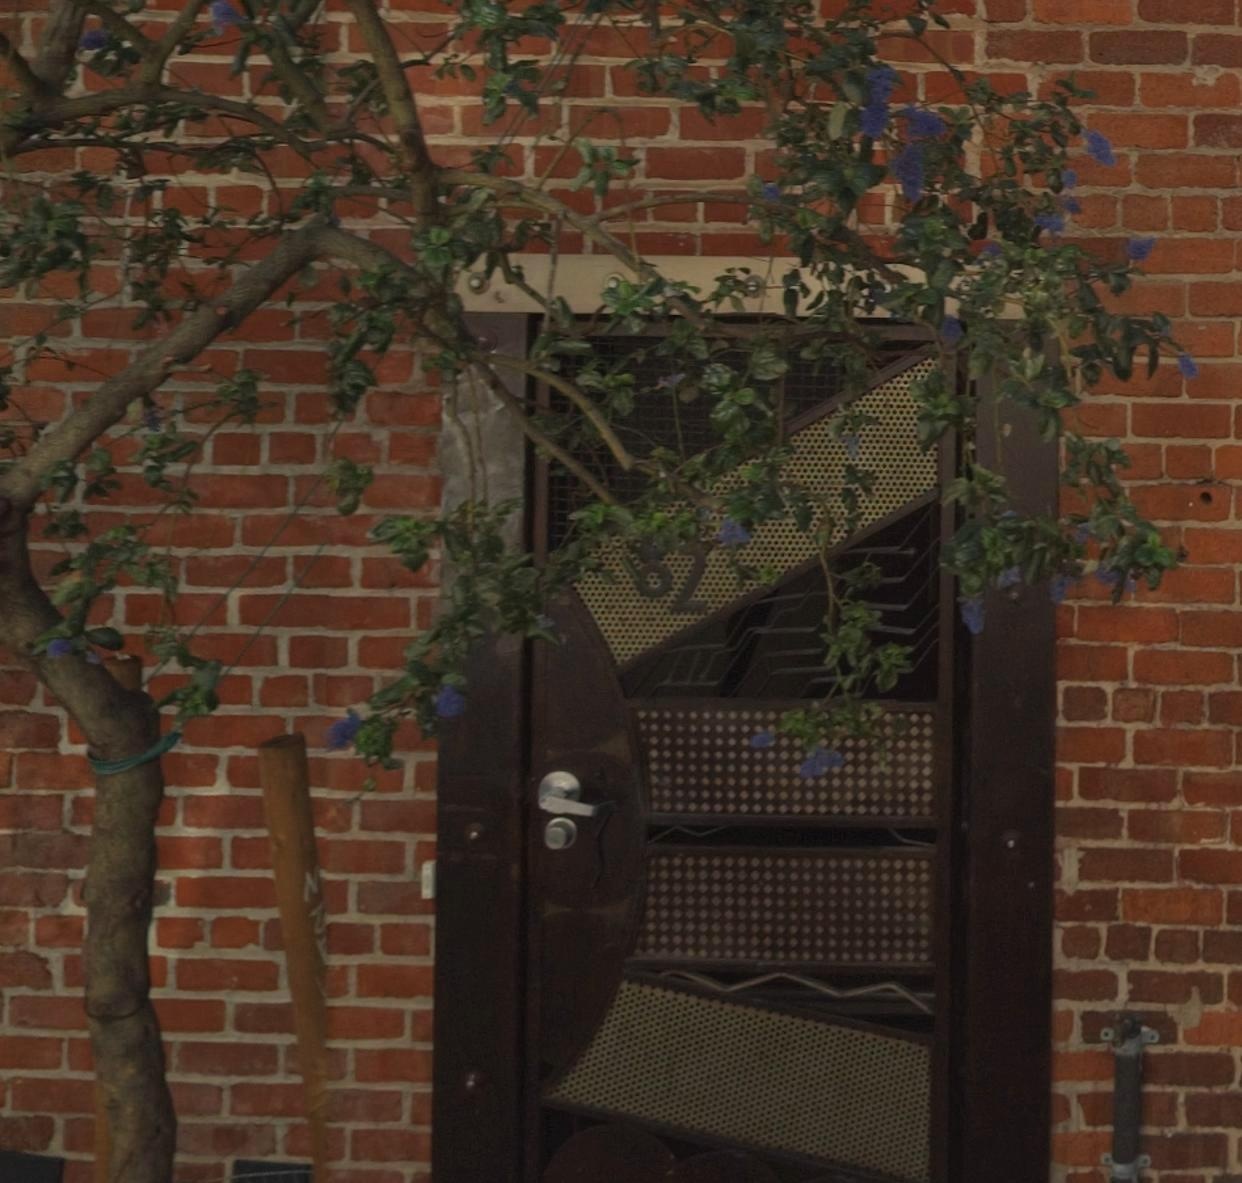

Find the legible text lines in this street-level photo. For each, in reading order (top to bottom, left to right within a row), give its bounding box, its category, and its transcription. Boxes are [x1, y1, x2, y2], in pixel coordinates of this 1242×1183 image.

[634, 525, 710, 616] StreetNumber: *2